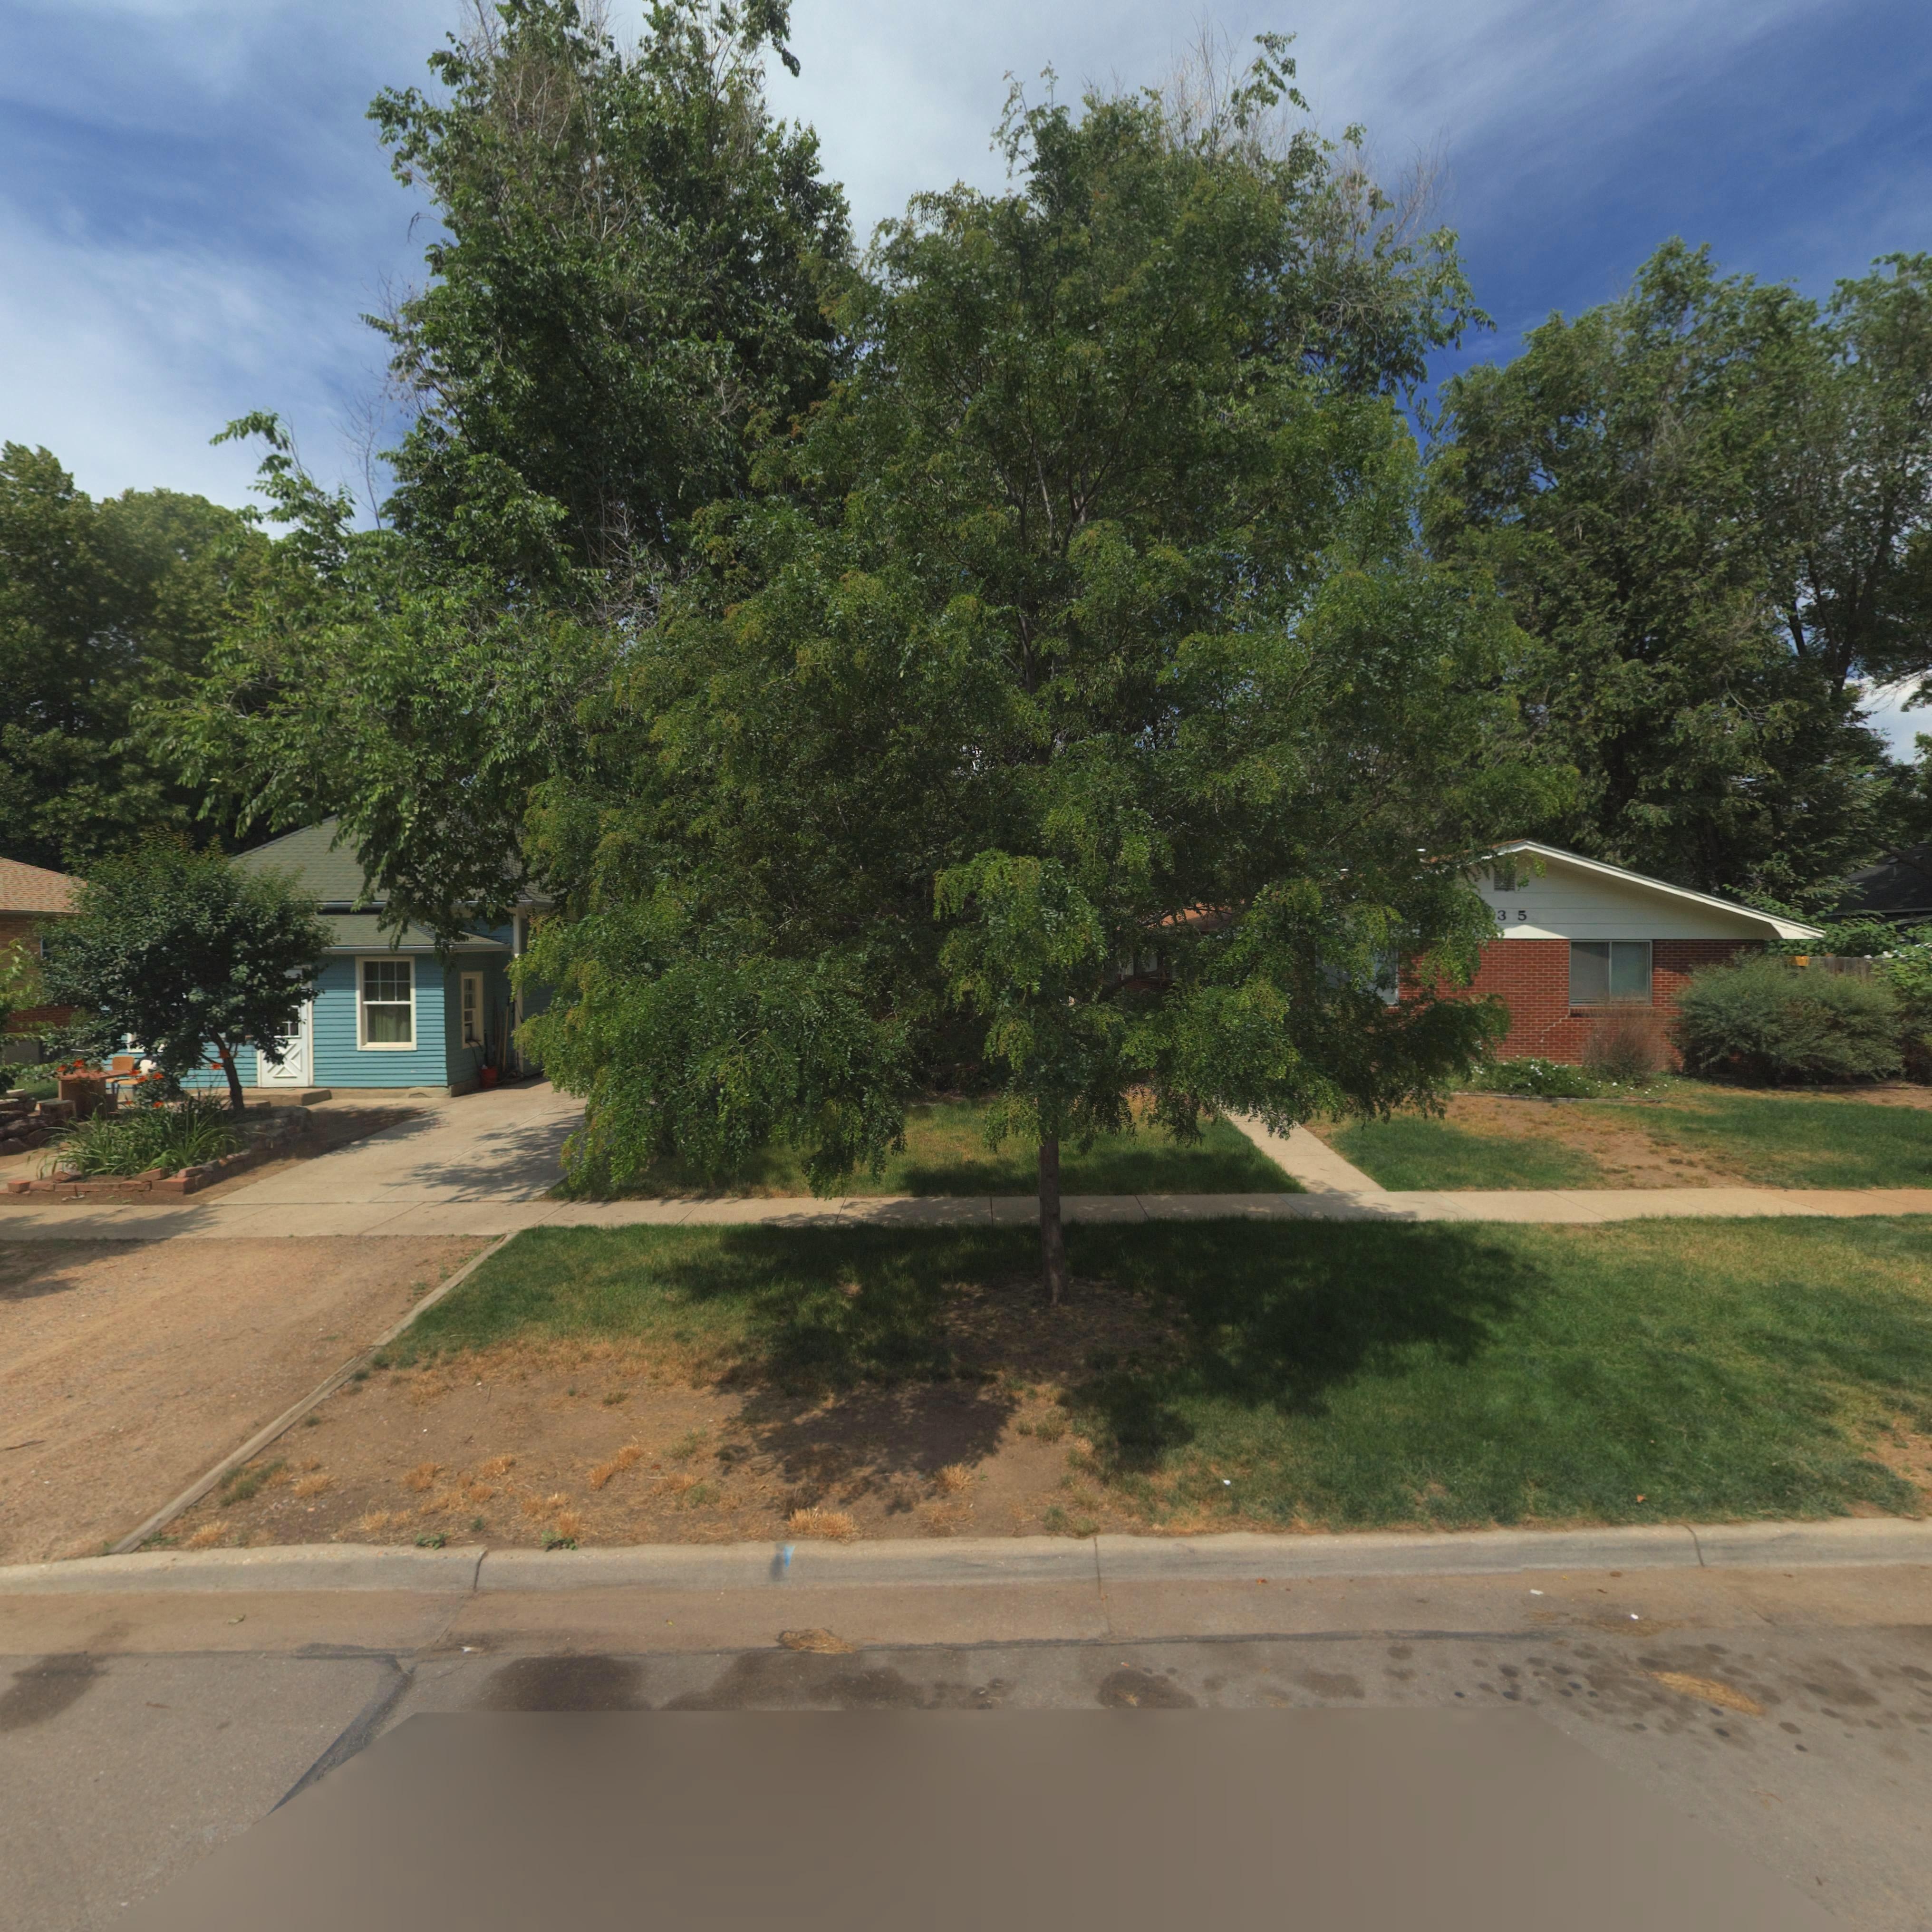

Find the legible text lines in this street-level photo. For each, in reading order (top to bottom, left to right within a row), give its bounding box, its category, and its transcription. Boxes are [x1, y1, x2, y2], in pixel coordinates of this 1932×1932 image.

[1497, 909, 1527, 921] StreetNumber: 35